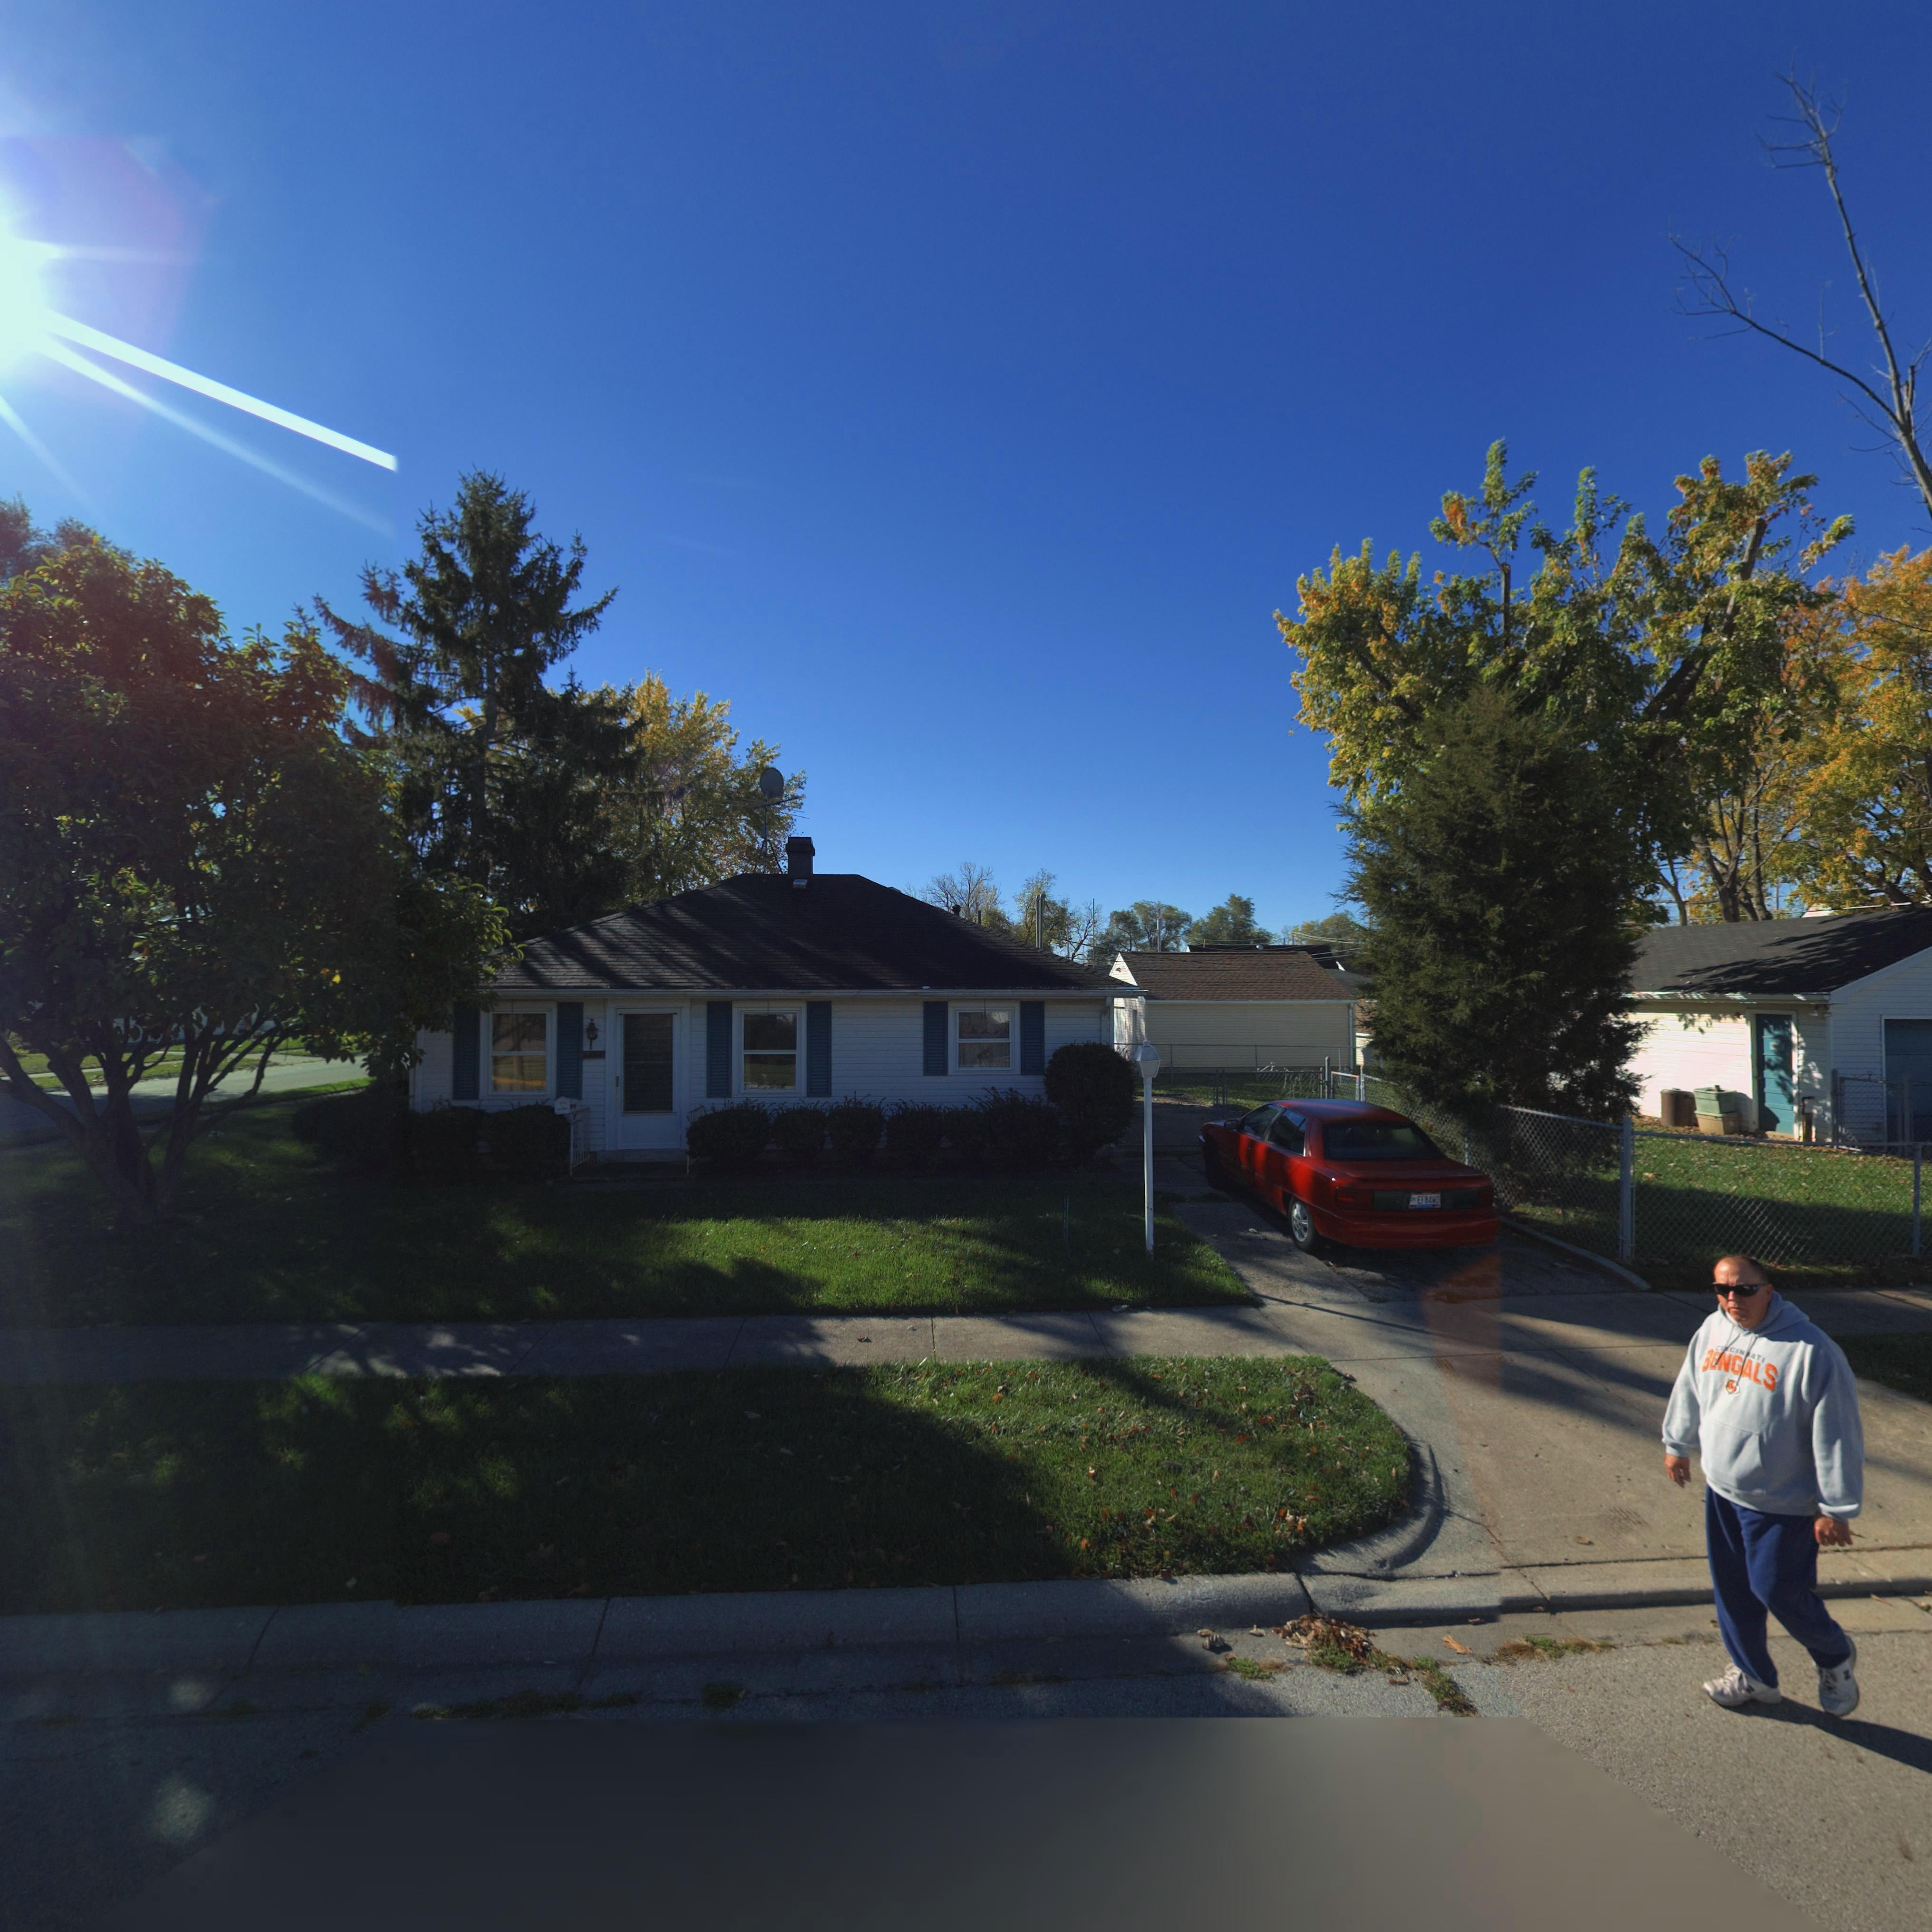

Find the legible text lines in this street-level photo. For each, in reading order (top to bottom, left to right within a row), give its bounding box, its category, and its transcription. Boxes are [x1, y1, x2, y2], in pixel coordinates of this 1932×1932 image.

[580, 1051, 603, 1059] StreetNumber: 5101